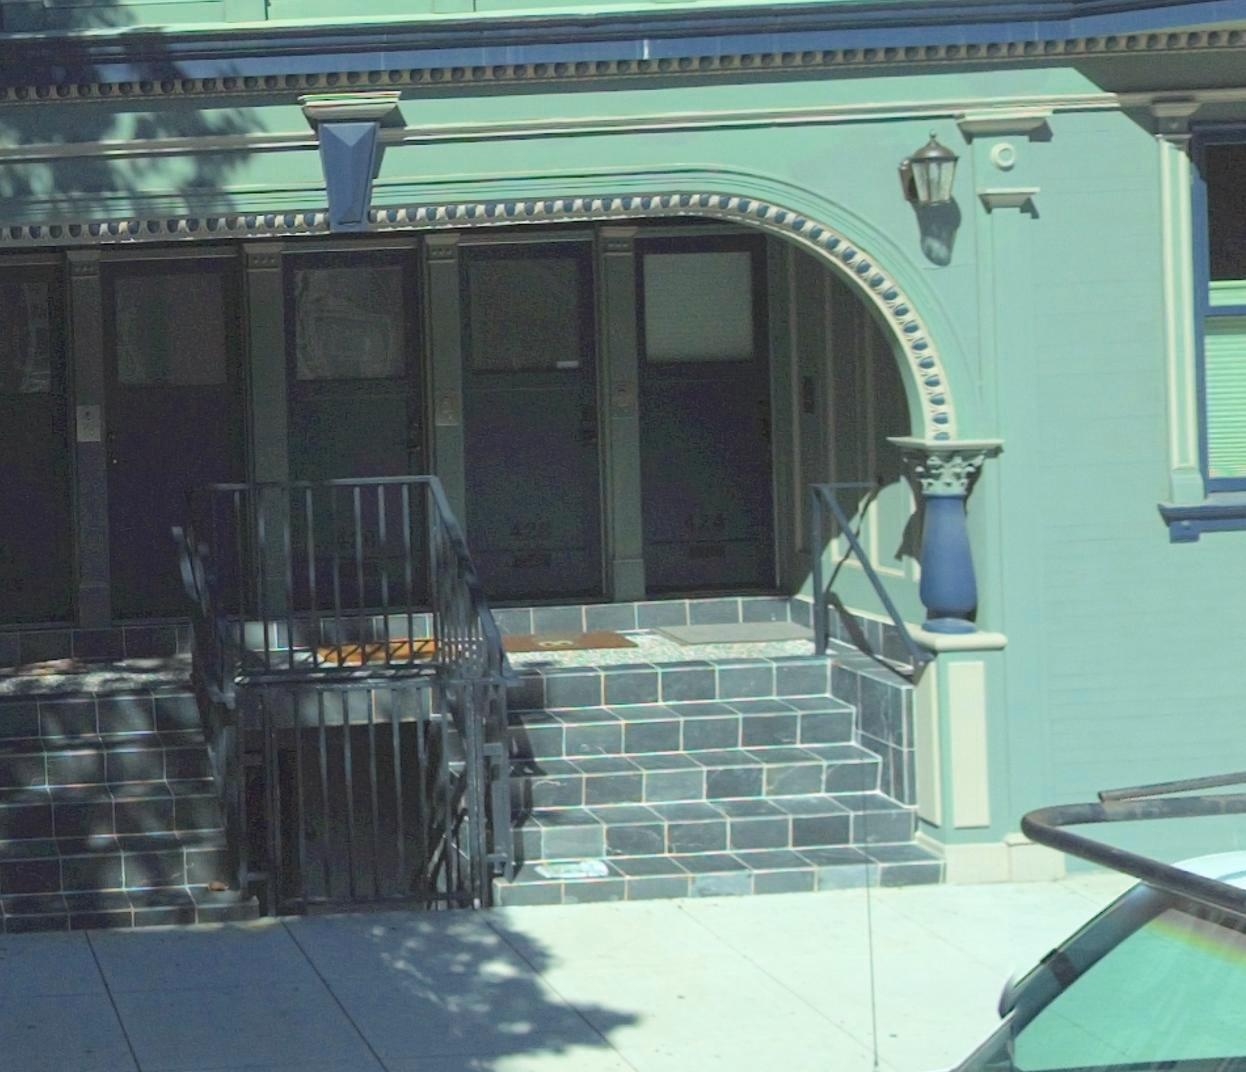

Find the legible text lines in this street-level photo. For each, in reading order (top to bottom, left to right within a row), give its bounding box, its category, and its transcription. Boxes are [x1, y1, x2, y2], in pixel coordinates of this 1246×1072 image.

[506, 516, 554, 542] StreetNumber: 426
[681, 510, 729, 533] StreetNumber: 424